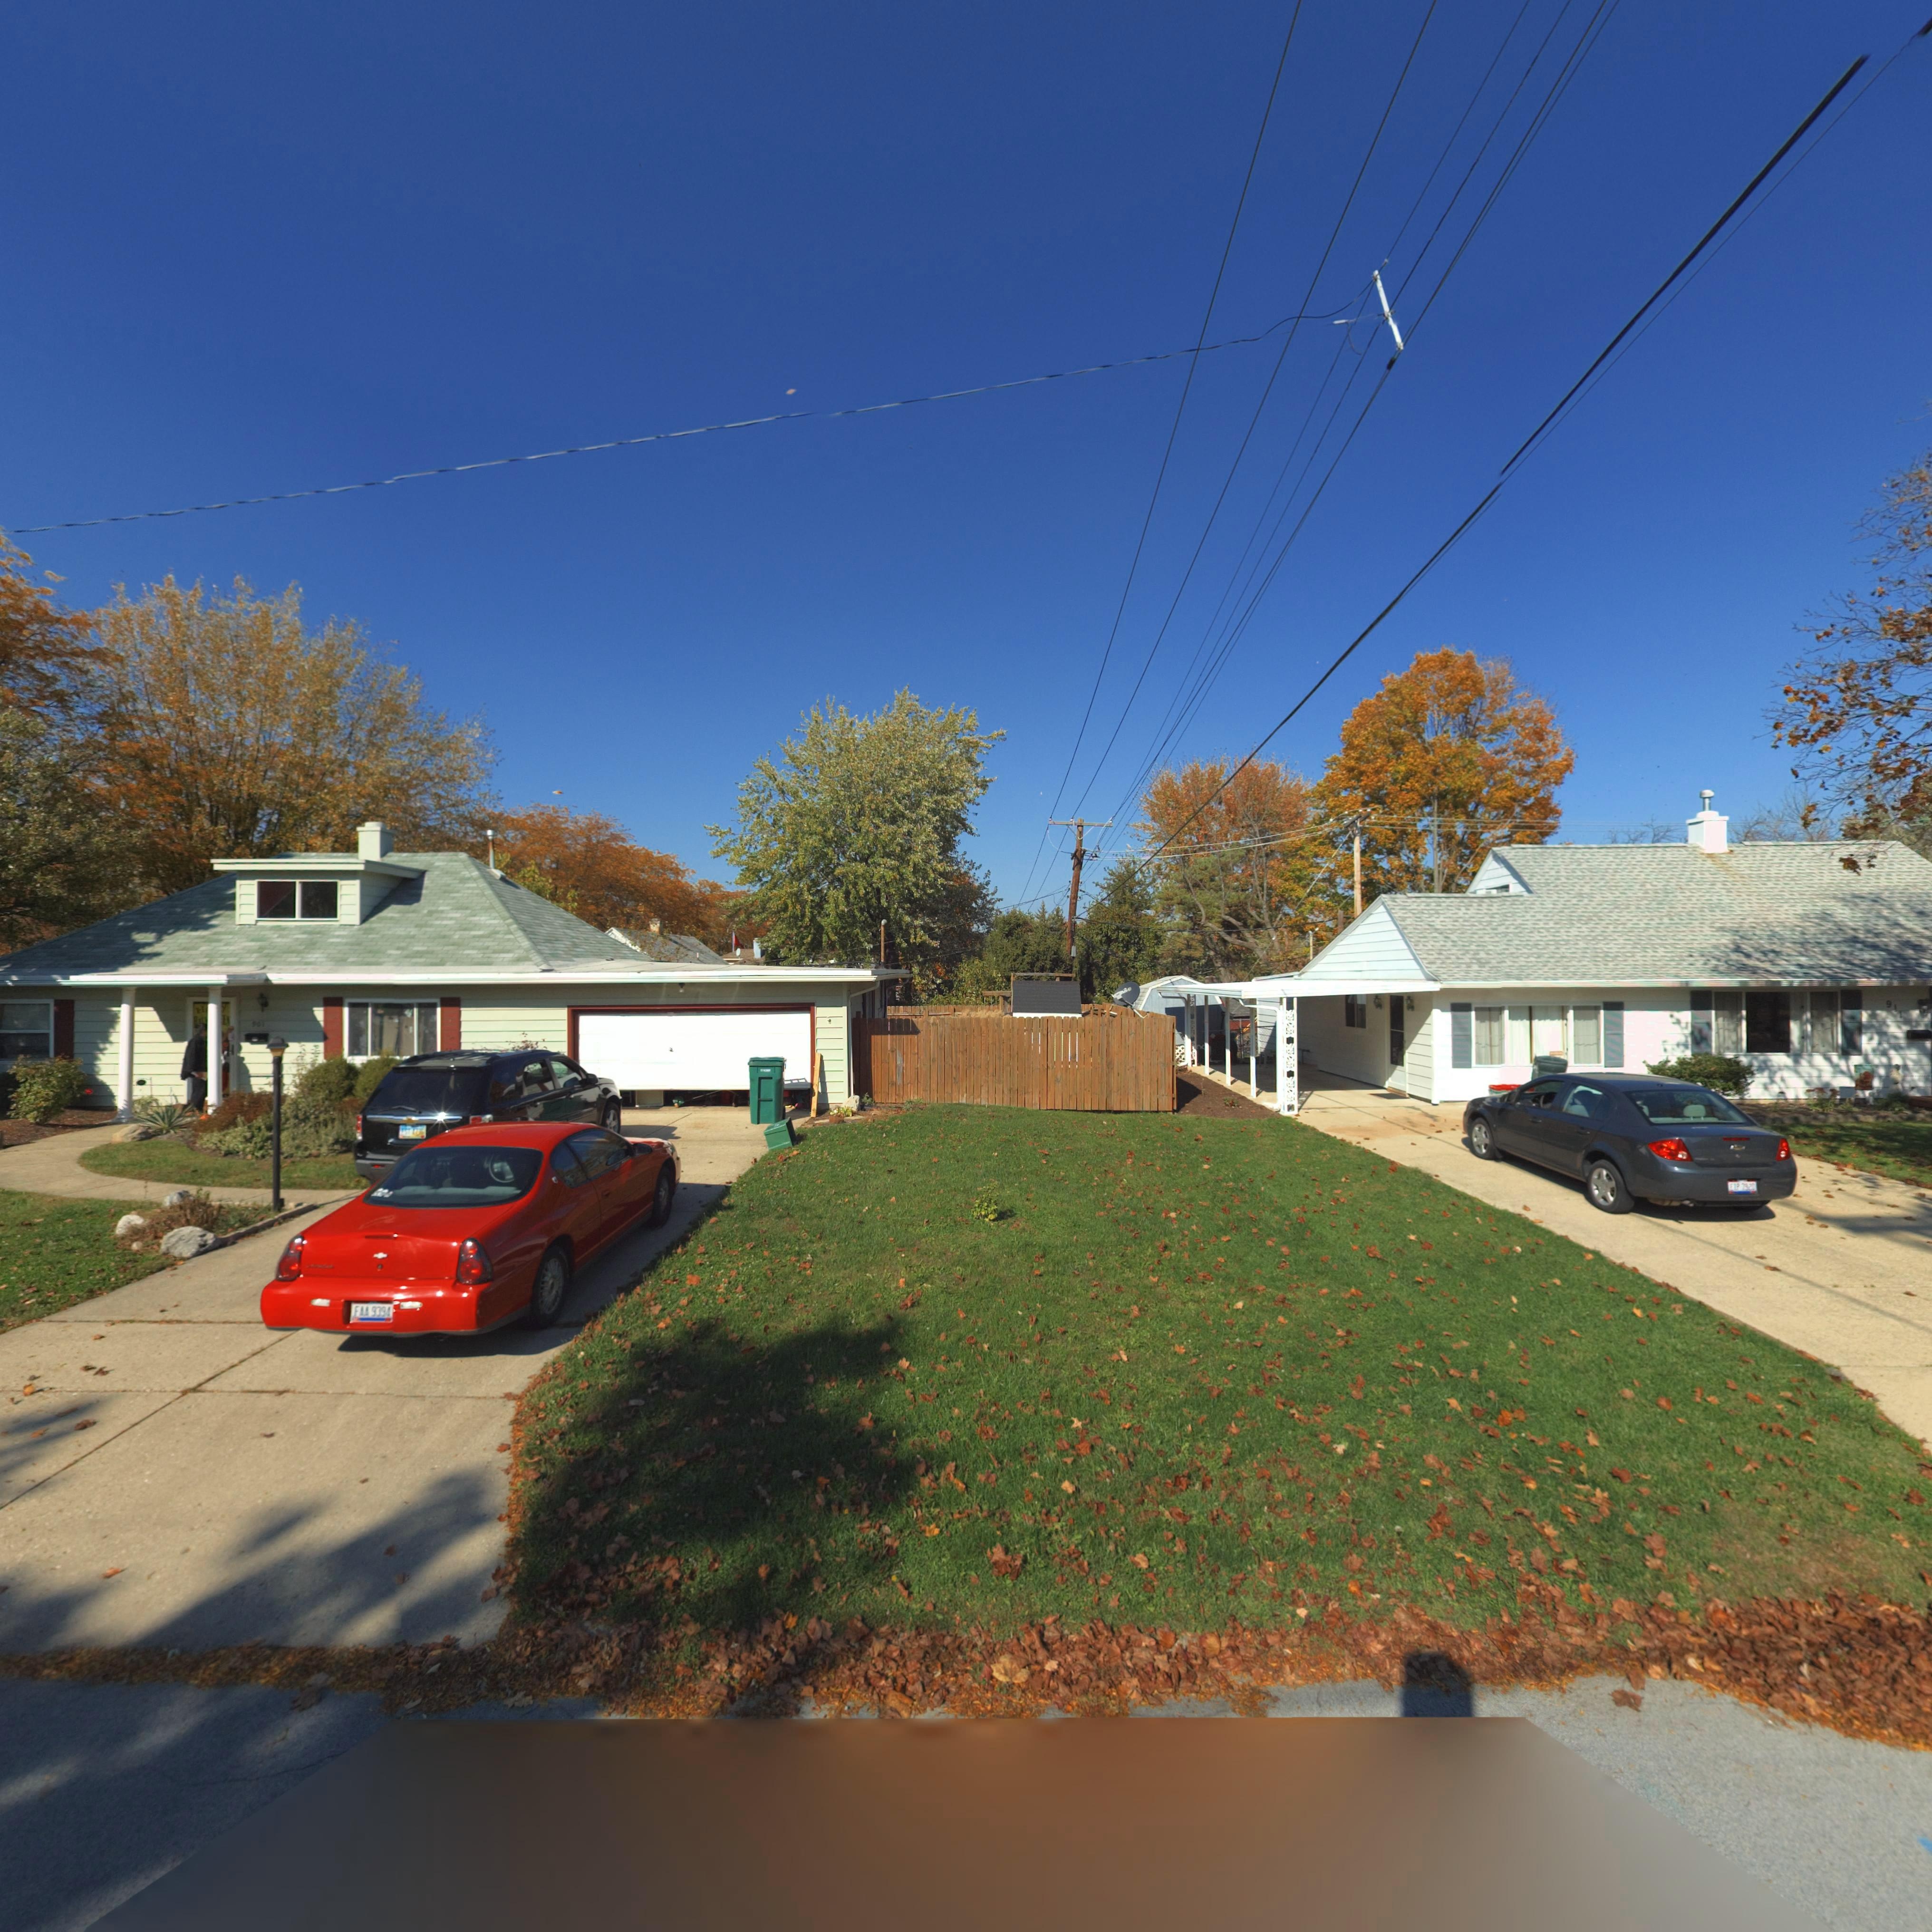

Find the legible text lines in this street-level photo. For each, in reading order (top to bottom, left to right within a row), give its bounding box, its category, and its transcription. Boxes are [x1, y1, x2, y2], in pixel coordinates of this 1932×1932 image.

[1884, 998, 1904, 1020] StreetNumber: 911
[251, 1019, 265, 1028] StreetNumber: 901
[352, 1304, 393, 1319] None: FAA 9394